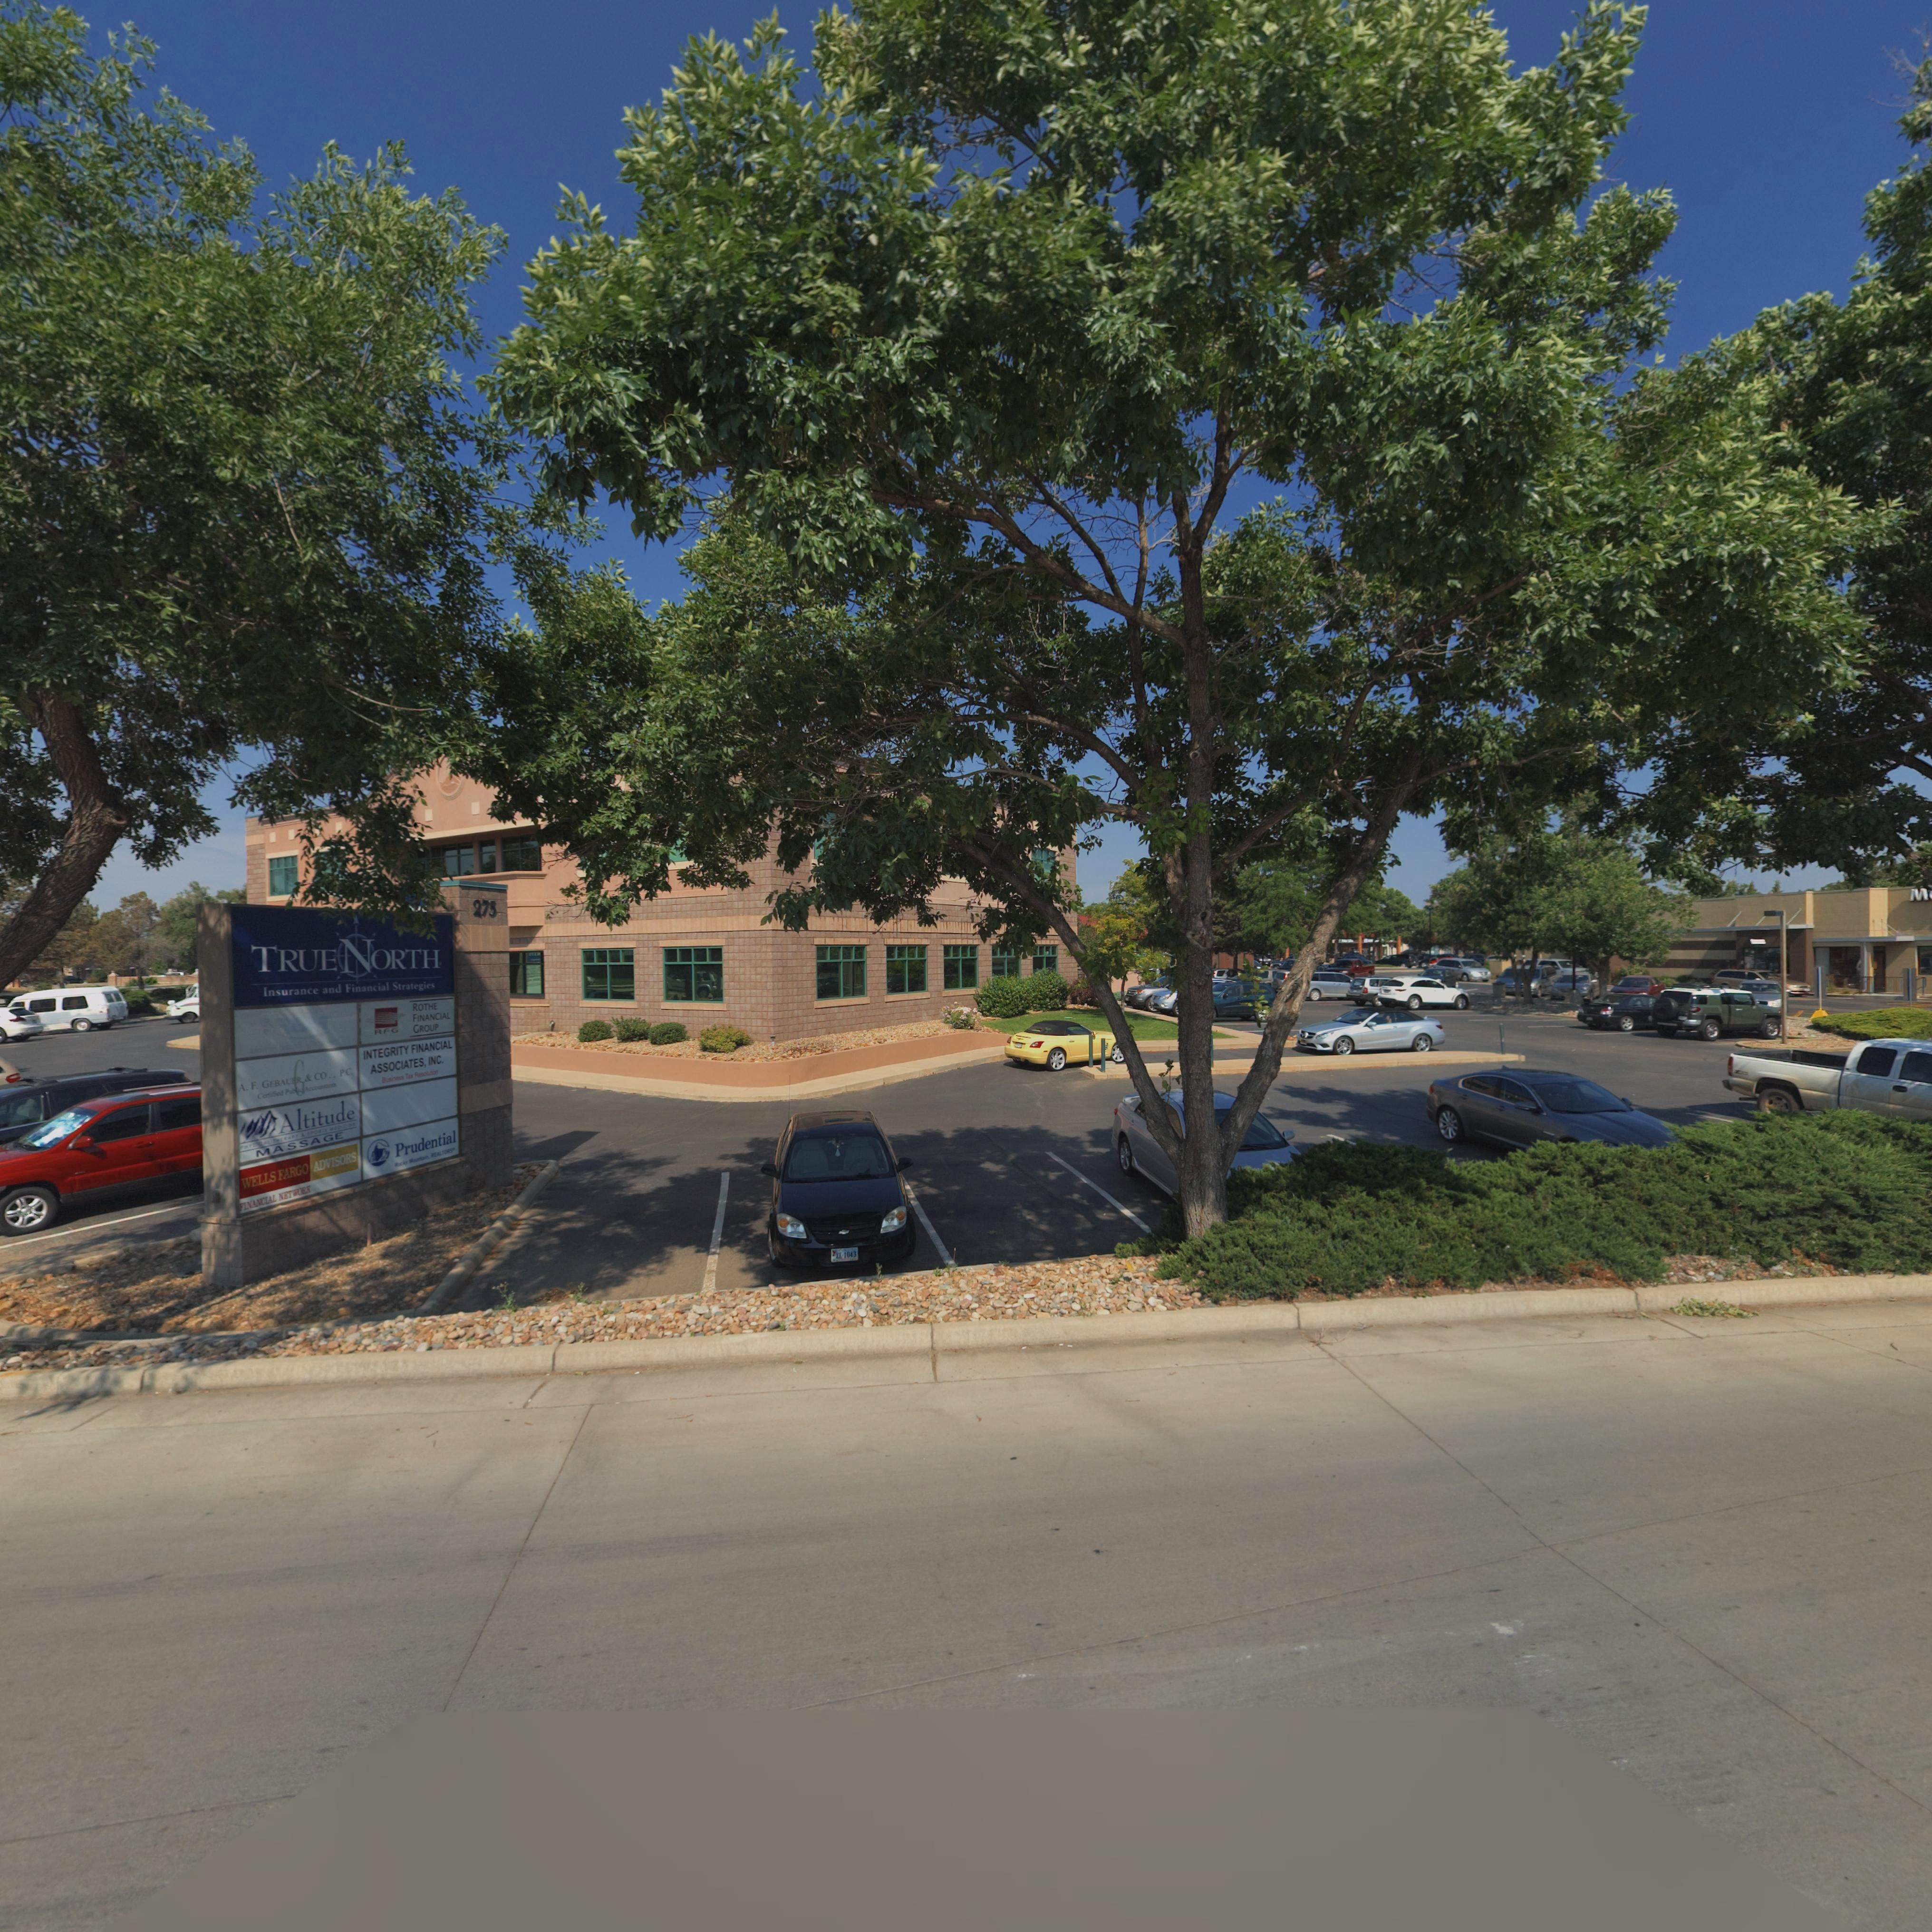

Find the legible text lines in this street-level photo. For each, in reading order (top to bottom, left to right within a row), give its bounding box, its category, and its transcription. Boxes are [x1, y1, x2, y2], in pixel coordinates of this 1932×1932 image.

[472, 898, 498, 918] StreetNumber: 275
[250, 937, 440, 974] BusinessName: TRUENORTH
[412, 1002, 438, 1012] BusinessName: ROTHE
[412, 1011, 451, 1022] BusinessName: FINANCIAL
[375, 1027, 398, 1035] BusinessName: RFG
[412, 1023, 439, 1033] BusinessName: GROUP
[363, 1039, 453, 1060] BusinessName: INTEGRITY FINANCIAL
[369, 1054, 444, 1074] BusinessName: ASSOCIATES, INC.
[237, 1067, 354, 1092] BusinessName: A. F. GEBAUER & CO .. P.C.
[278, 1100, 355, 1134] BusinessName: Altitude
[255, 1131, 344, 1158] BusinessName: MASSAGE
[394, 1130, 456, 1157] BusinessName: Prudential
[241, 1151, 357, 1189] BusinessName: WELLS FARGO ADVISORS